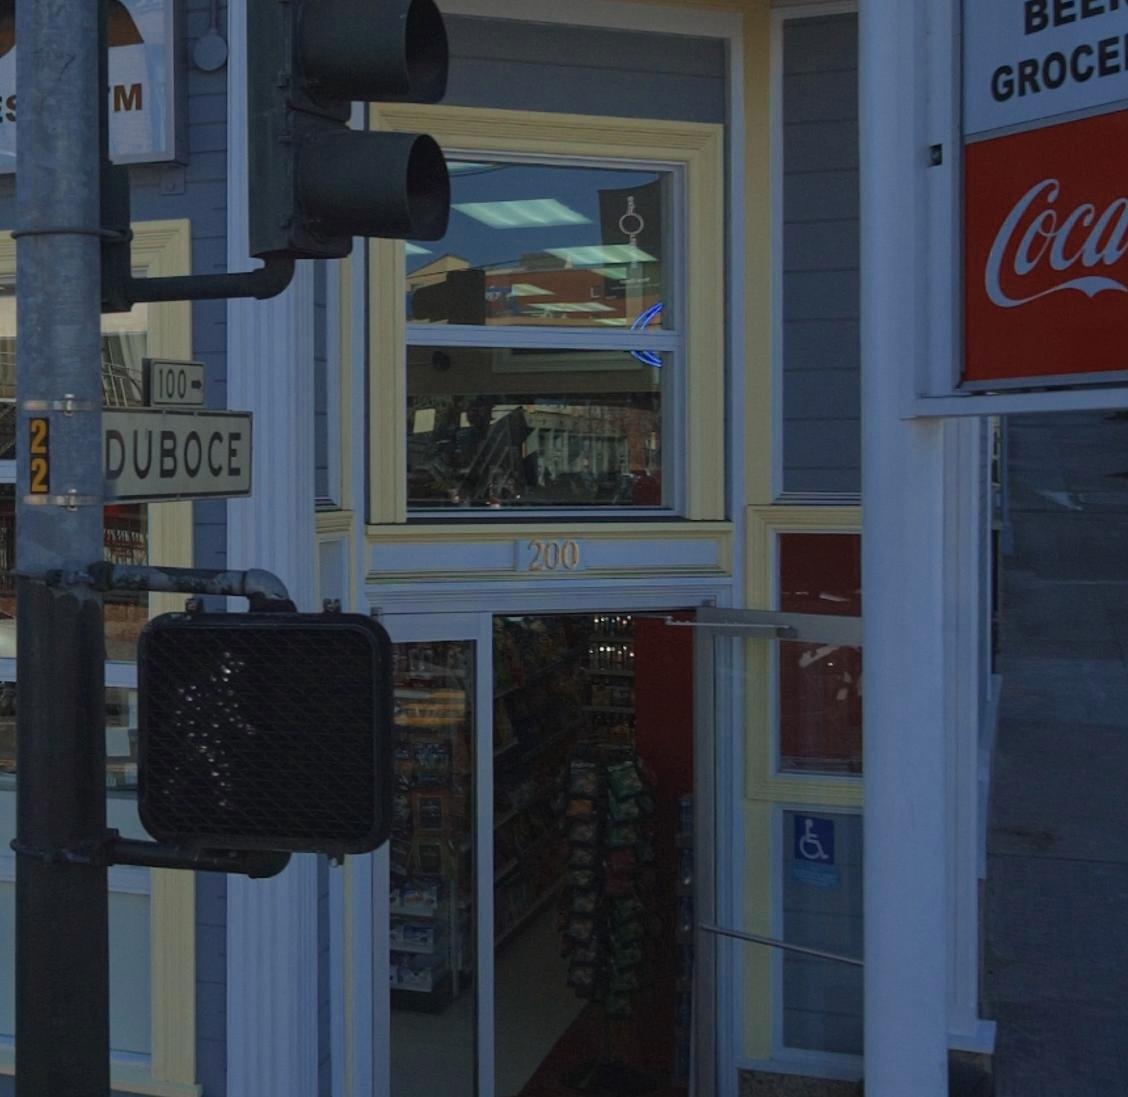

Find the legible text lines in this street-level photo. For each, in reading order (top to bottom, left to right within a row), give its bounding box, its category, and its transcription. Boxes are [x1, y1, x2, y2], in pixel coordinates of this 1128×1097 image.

[111, 80, 145, 115] None: M
[988, 31, 1123, 105] None: GROCE
[157, 364, 205, 401] StreetNumberRange: 100->
[29, 417, 49, 494] None: 22
[103, 424, 244, 483] StreetName: DUBOCE
[524, 537, 582, 573] StreetNumber: 200